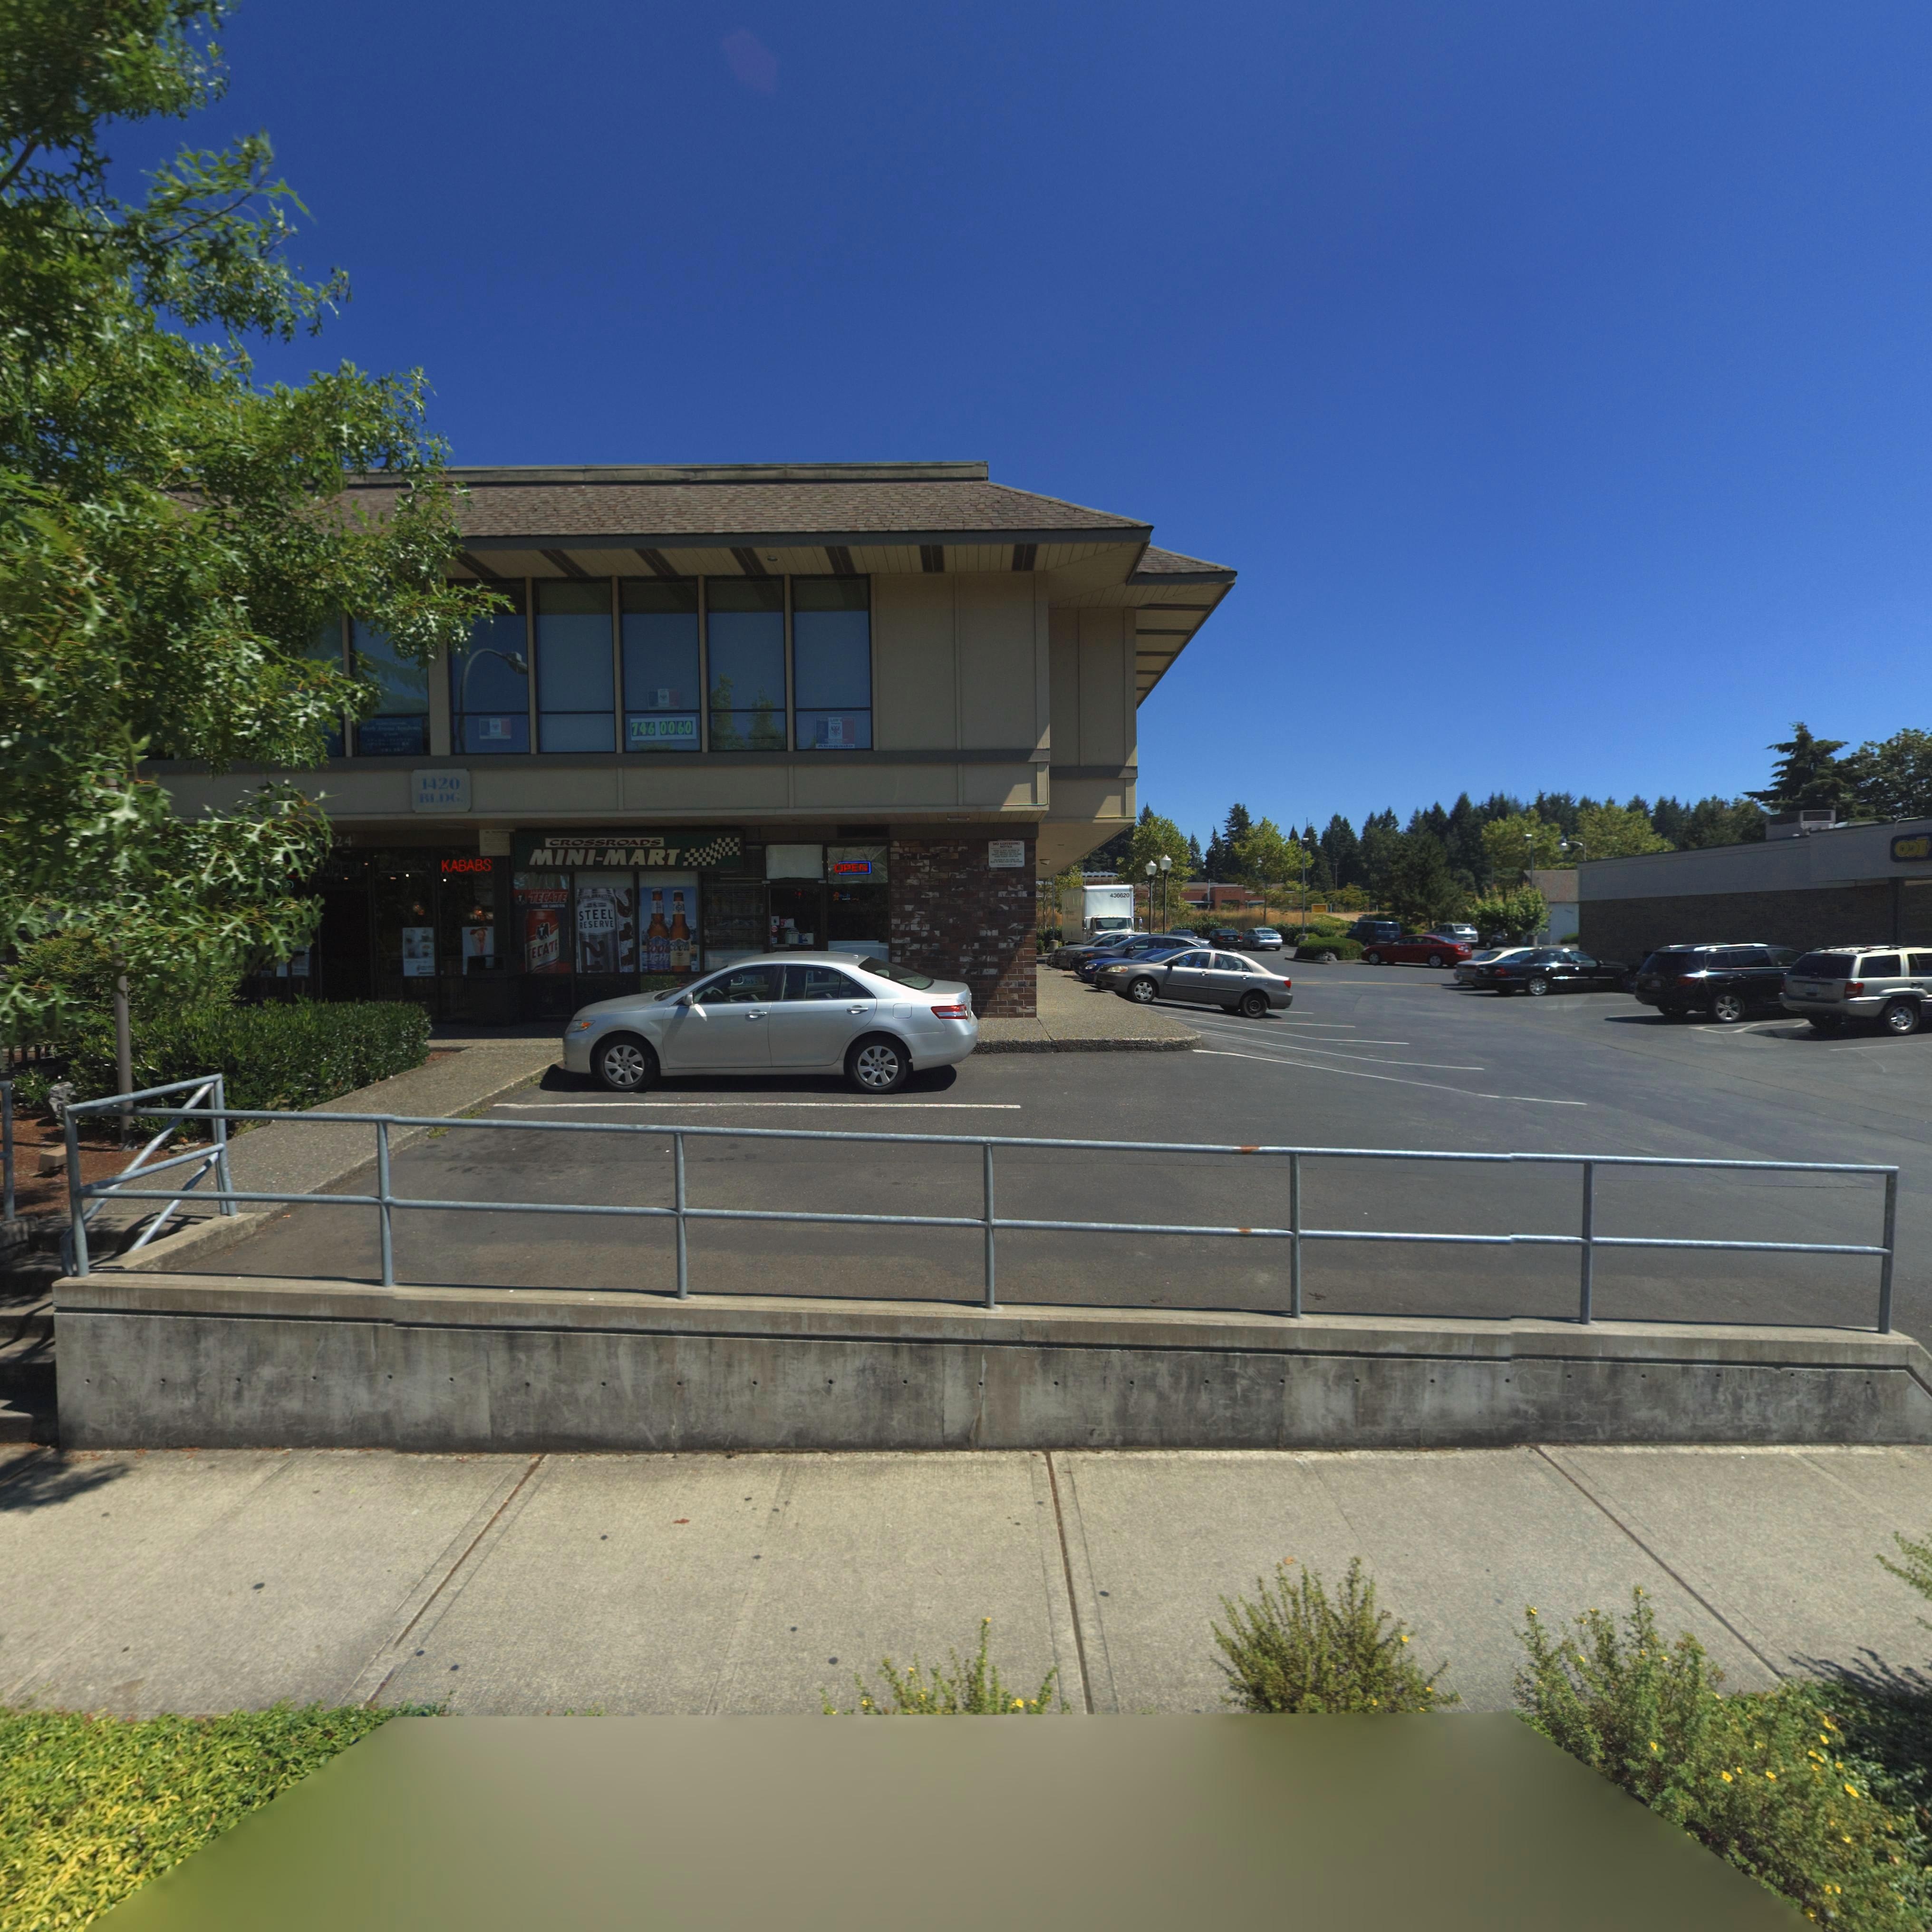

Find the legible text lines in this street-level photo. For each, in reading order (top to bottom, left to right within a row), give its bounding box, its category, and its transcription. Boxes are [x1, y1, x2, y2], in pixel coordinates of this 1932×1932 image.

[420, 777, 460, 790] StreetNumber: 1420
[549, 838, 661, 847] BusinessName: CROSSROADS
[528, 848, 681, 866] BusinessName: MINI*MART